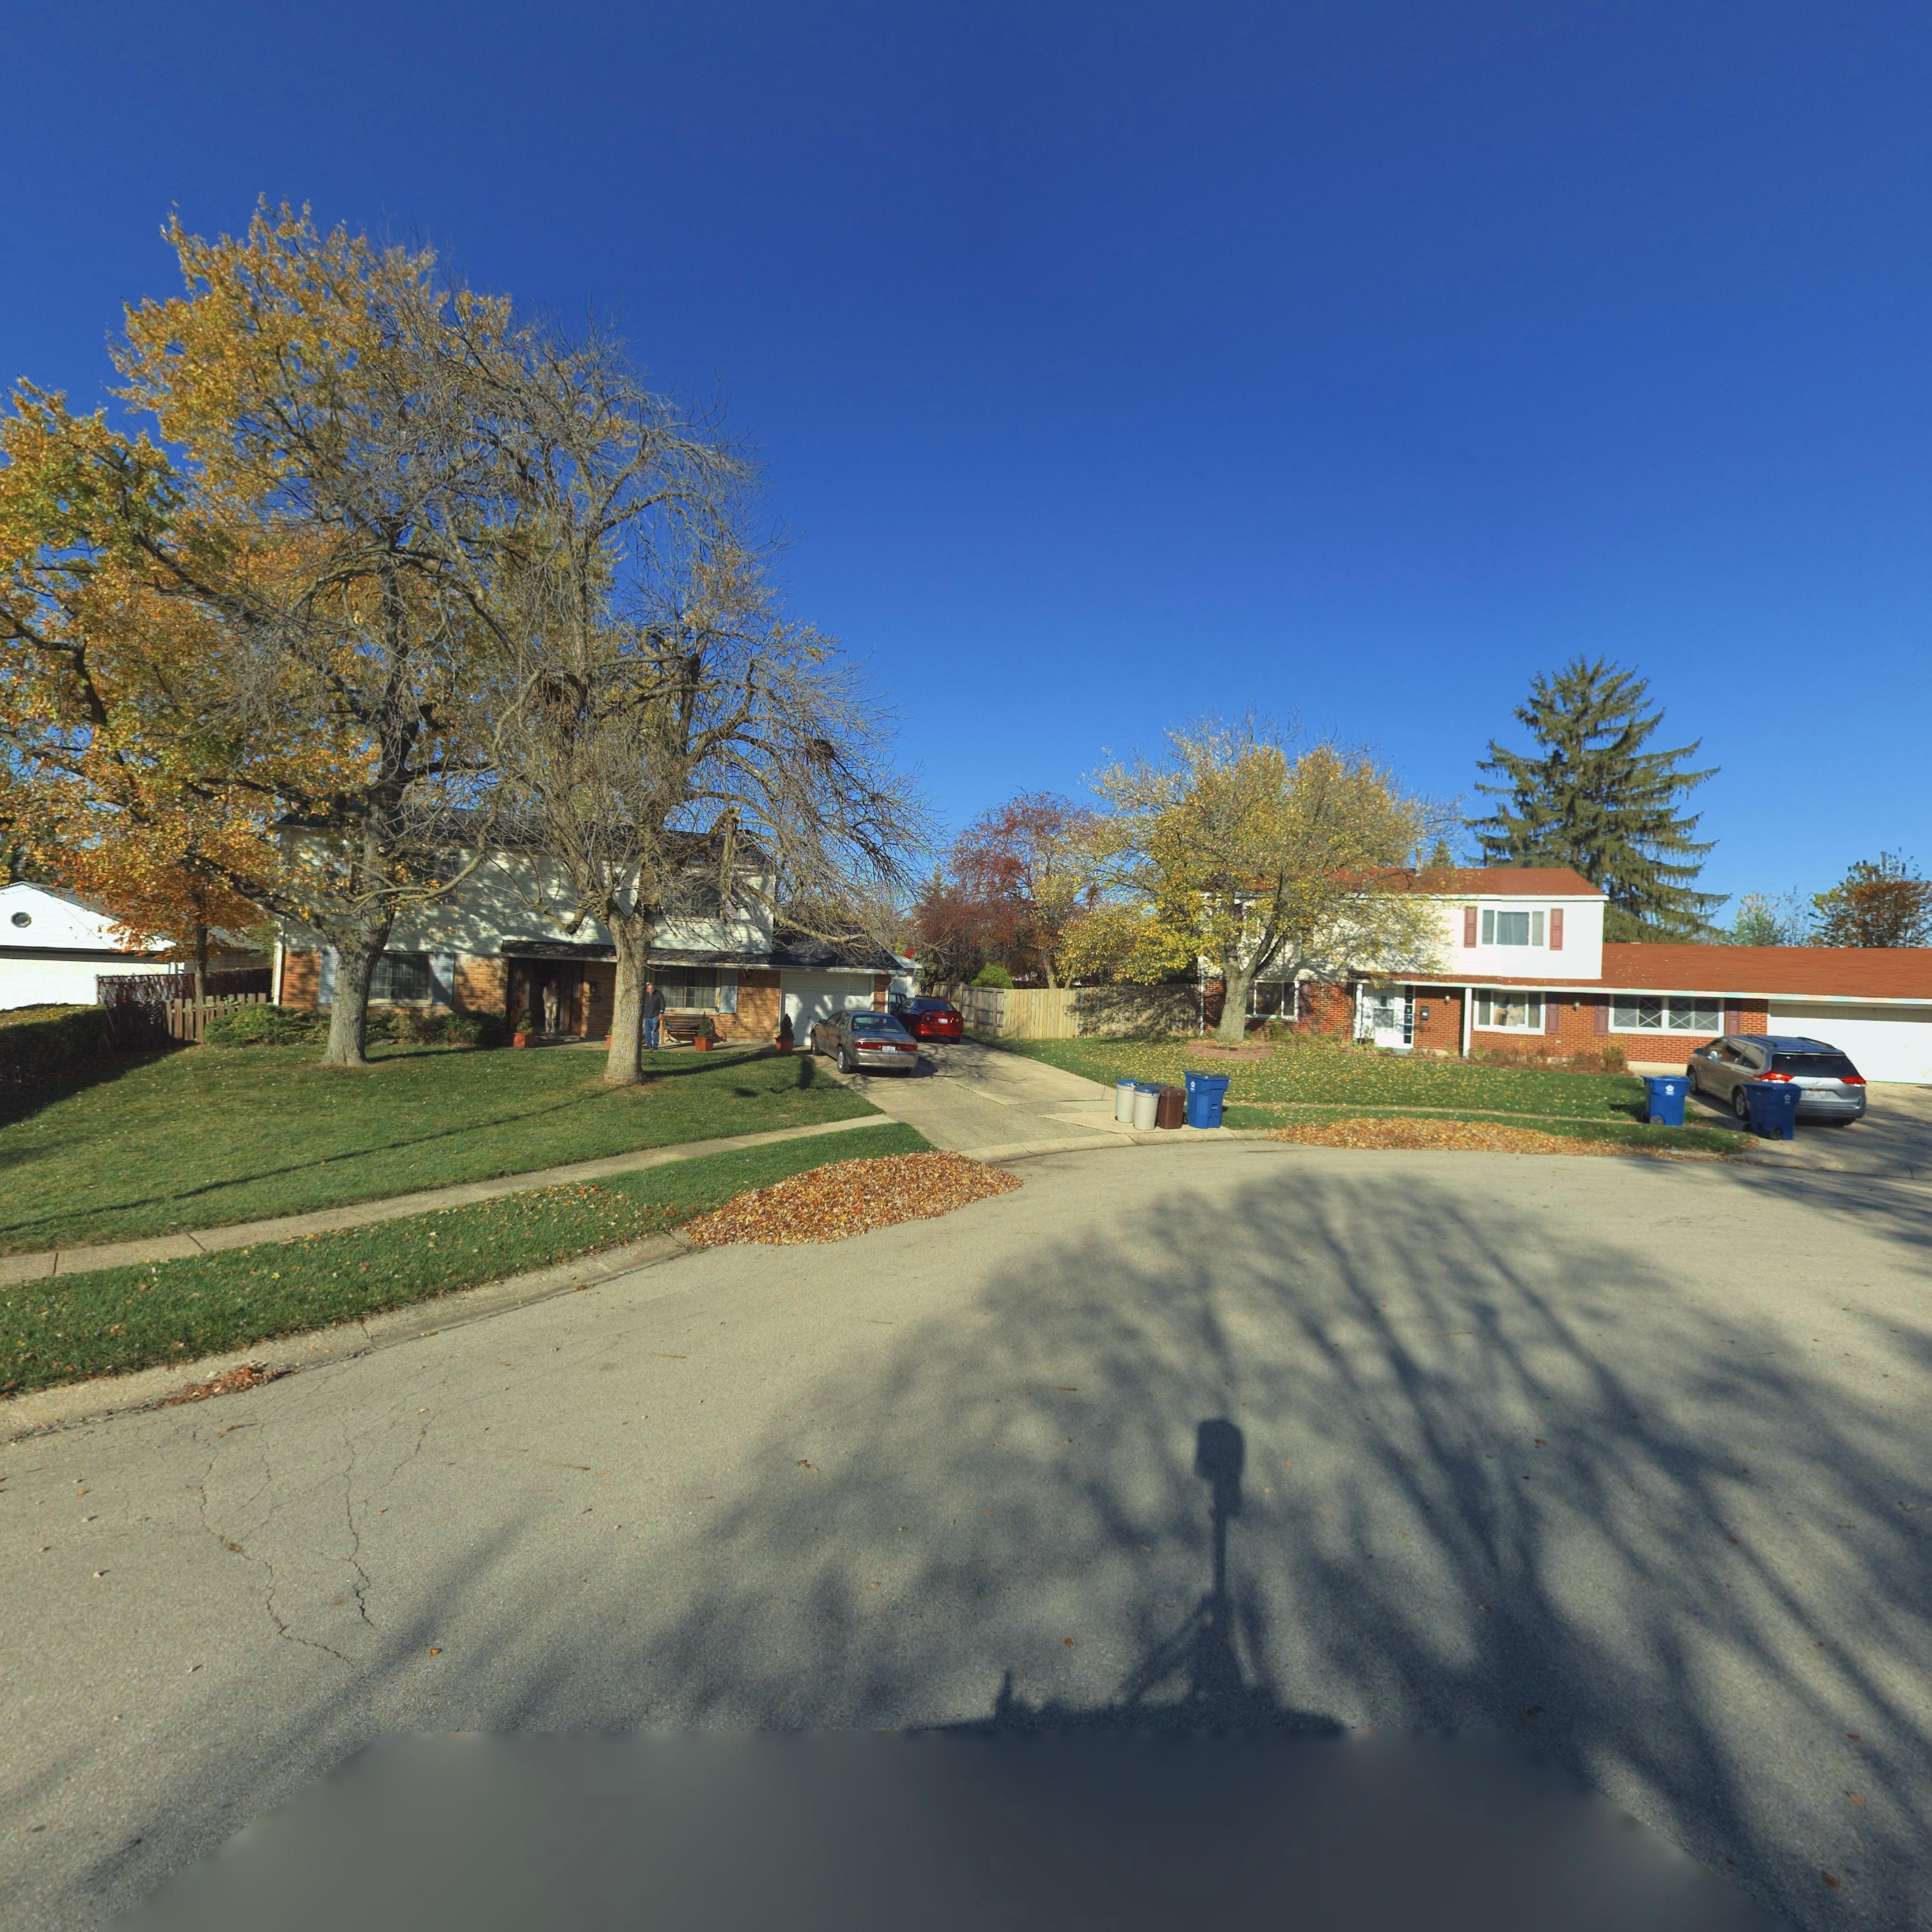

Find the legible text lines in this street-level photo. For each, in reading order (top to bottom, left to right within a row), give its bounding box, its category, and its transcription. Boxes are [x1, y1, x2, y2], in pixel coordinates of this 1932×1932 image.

[585, 995, 599, 1003] StreetNumber: **06